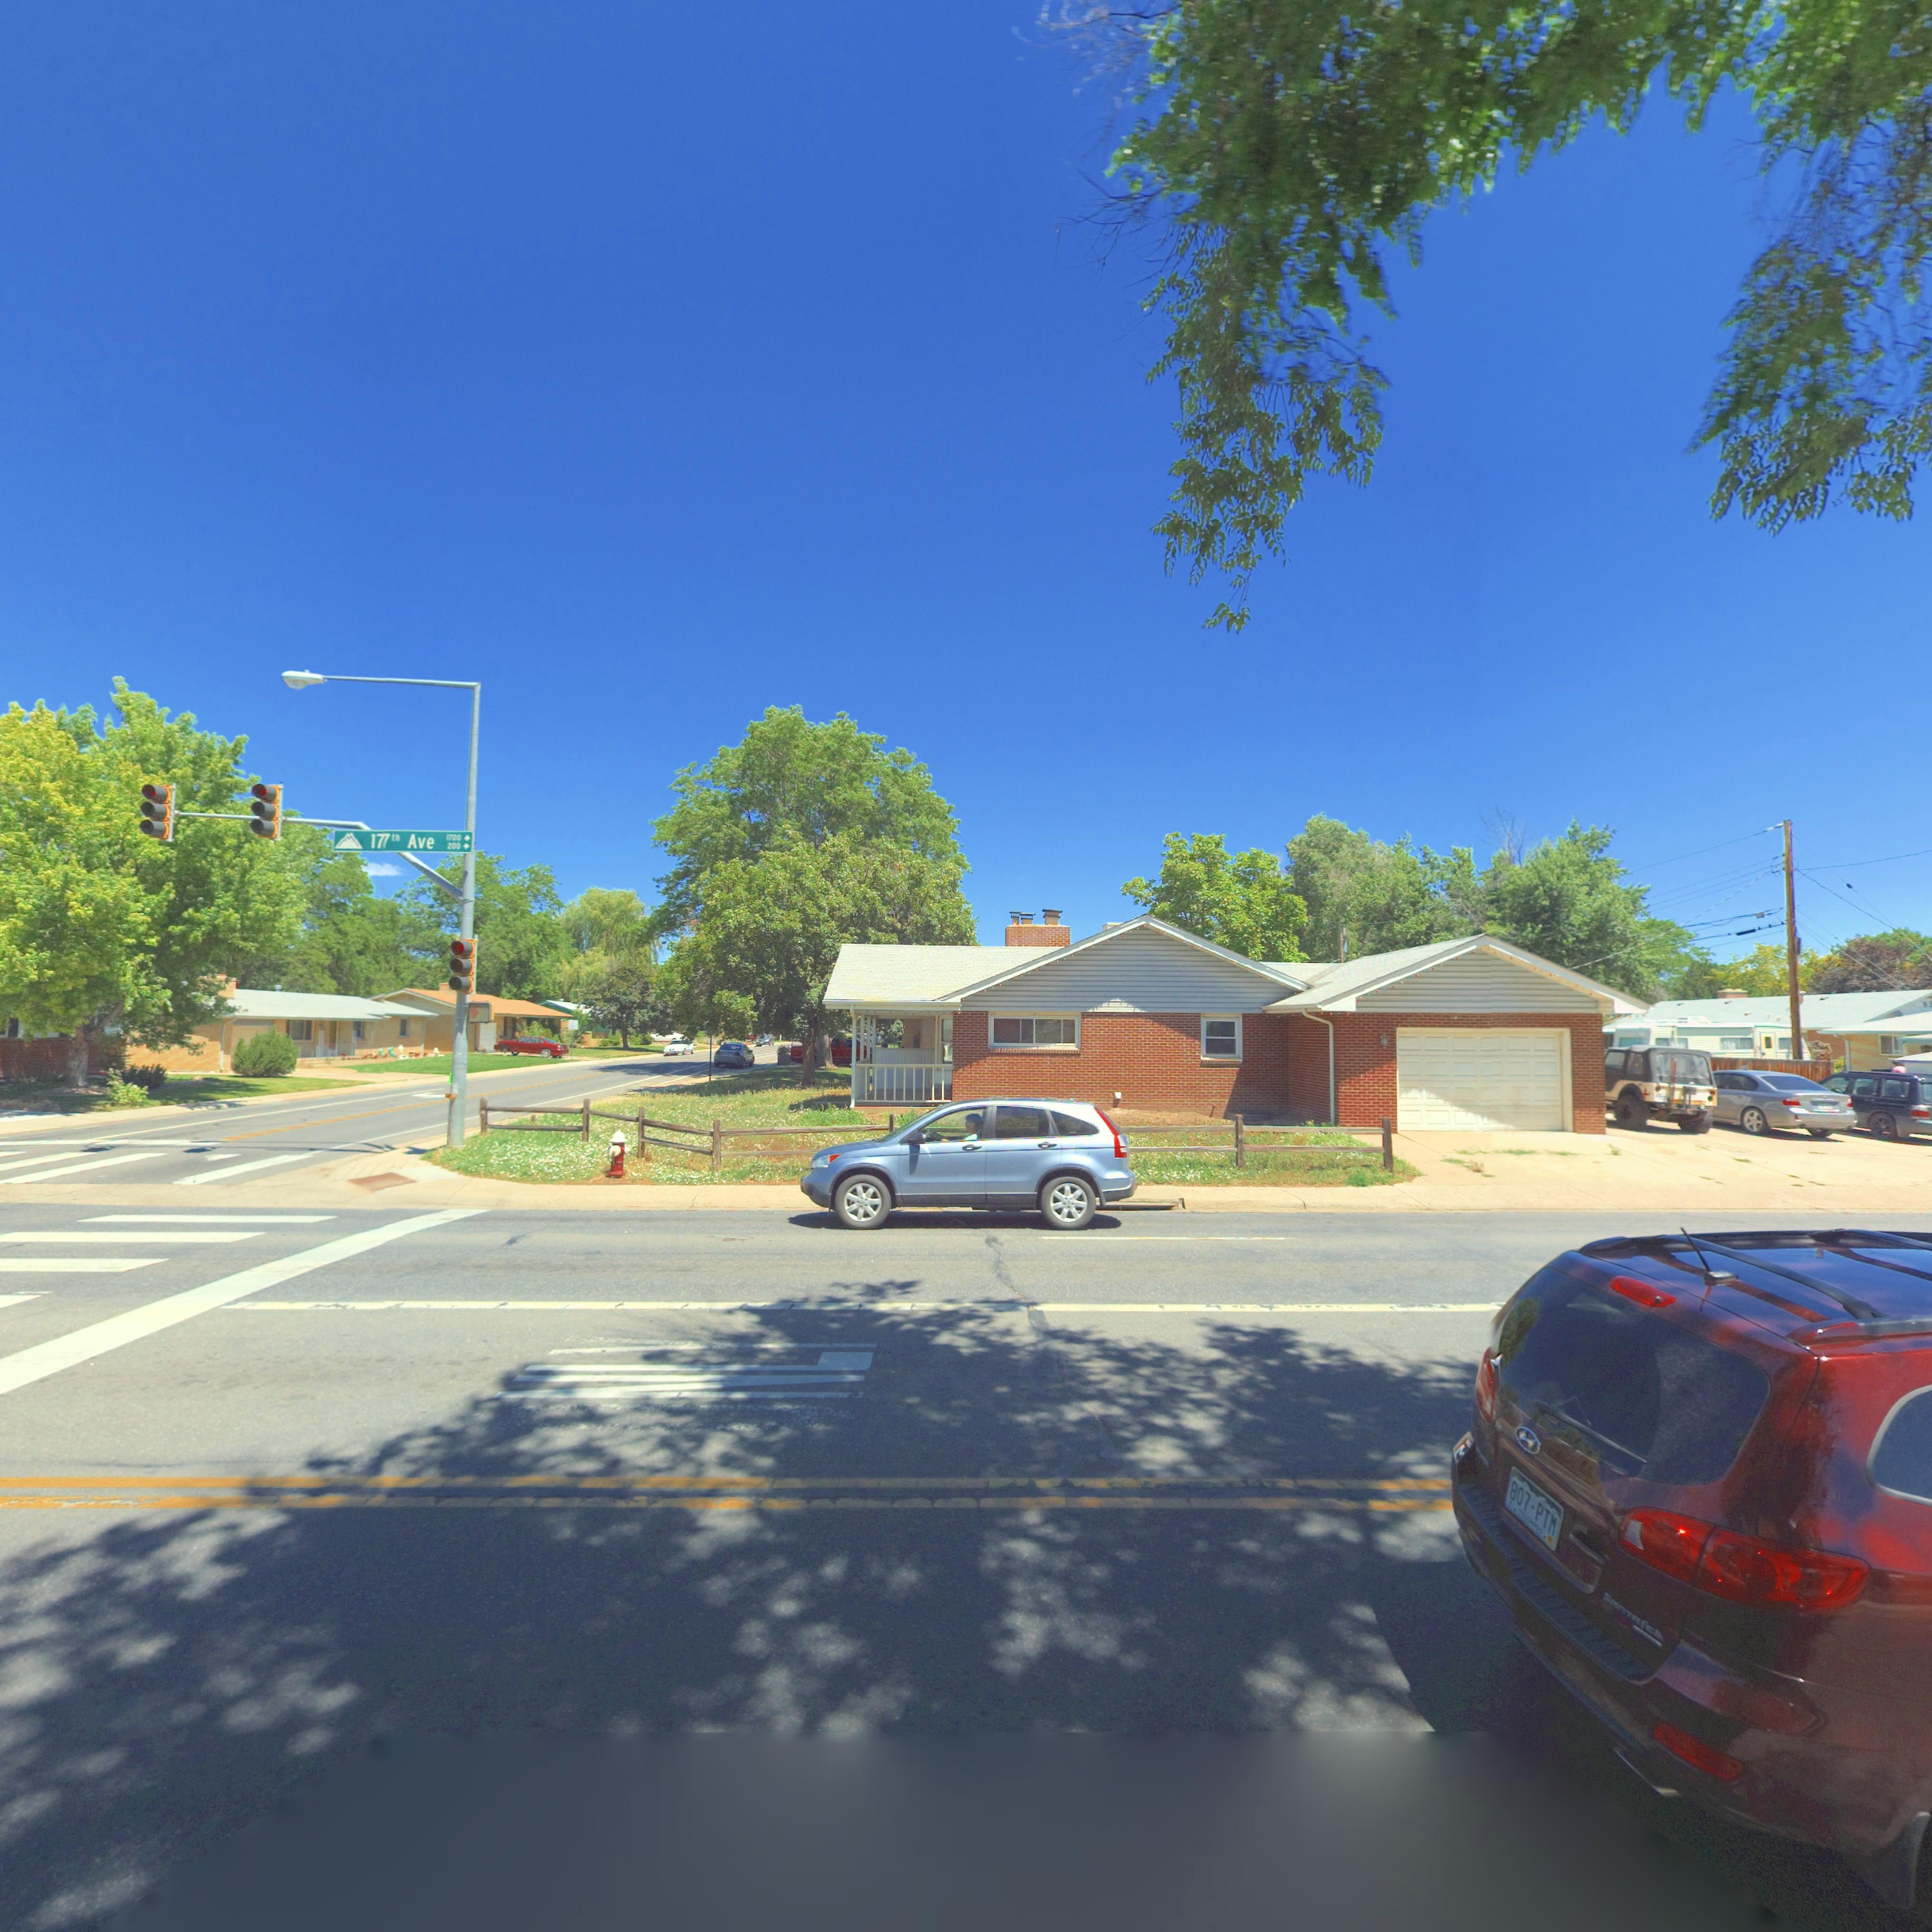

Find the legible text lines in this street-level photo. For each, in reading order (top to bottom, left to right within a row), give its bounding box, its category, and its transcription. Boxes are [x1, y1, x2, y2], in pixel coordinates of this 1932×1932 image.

[446, 834, 461, 841] StreetNumberRange: 1700
[371, 833, 435, 850] StreetName: 17*th Ave
[447, 842, 470, 849] StreetNumberRange: 200->